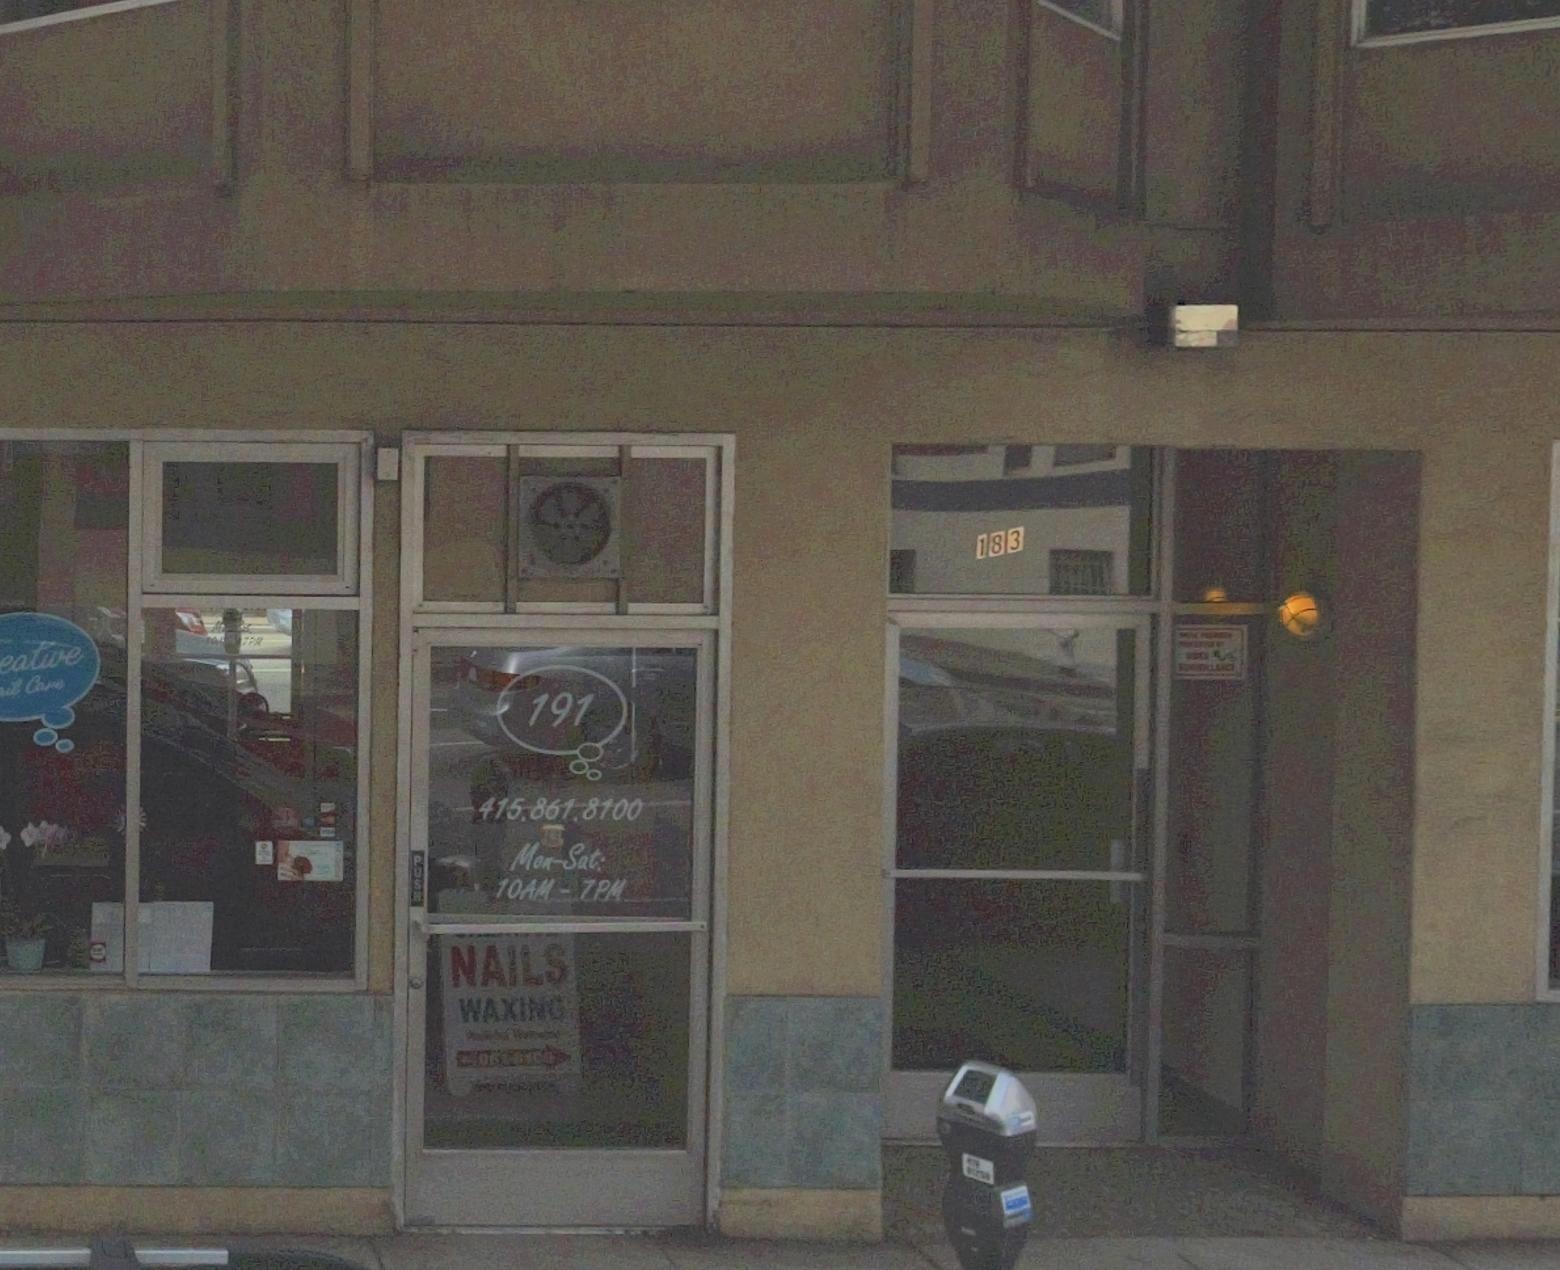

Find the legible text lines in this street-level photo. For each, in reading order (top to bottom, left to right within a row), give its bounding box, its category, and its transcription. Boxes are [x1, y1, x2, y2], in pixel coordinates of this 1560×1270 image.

[978, 529, 1022, 557] StreetNumber: 183
[8, 639, 86, 674] None: ative
[23, 674, 47, 697] None: Ca
[526, 692, 599, 728] StreetNumber: 191
[476, 795, 645, 823] None: 415.861.8100
[507, 840, 609, 873] None: Mon-Sat:
[411, 852, 423, 903] None: PUSH
[495, 877, 630, 902] None: 10AM-7PM
[449, 941, 571, 991] None: NAILS
[457, 994, 568, 1025] None: WAXING
[477, 1051, 490, 1068] None: 0